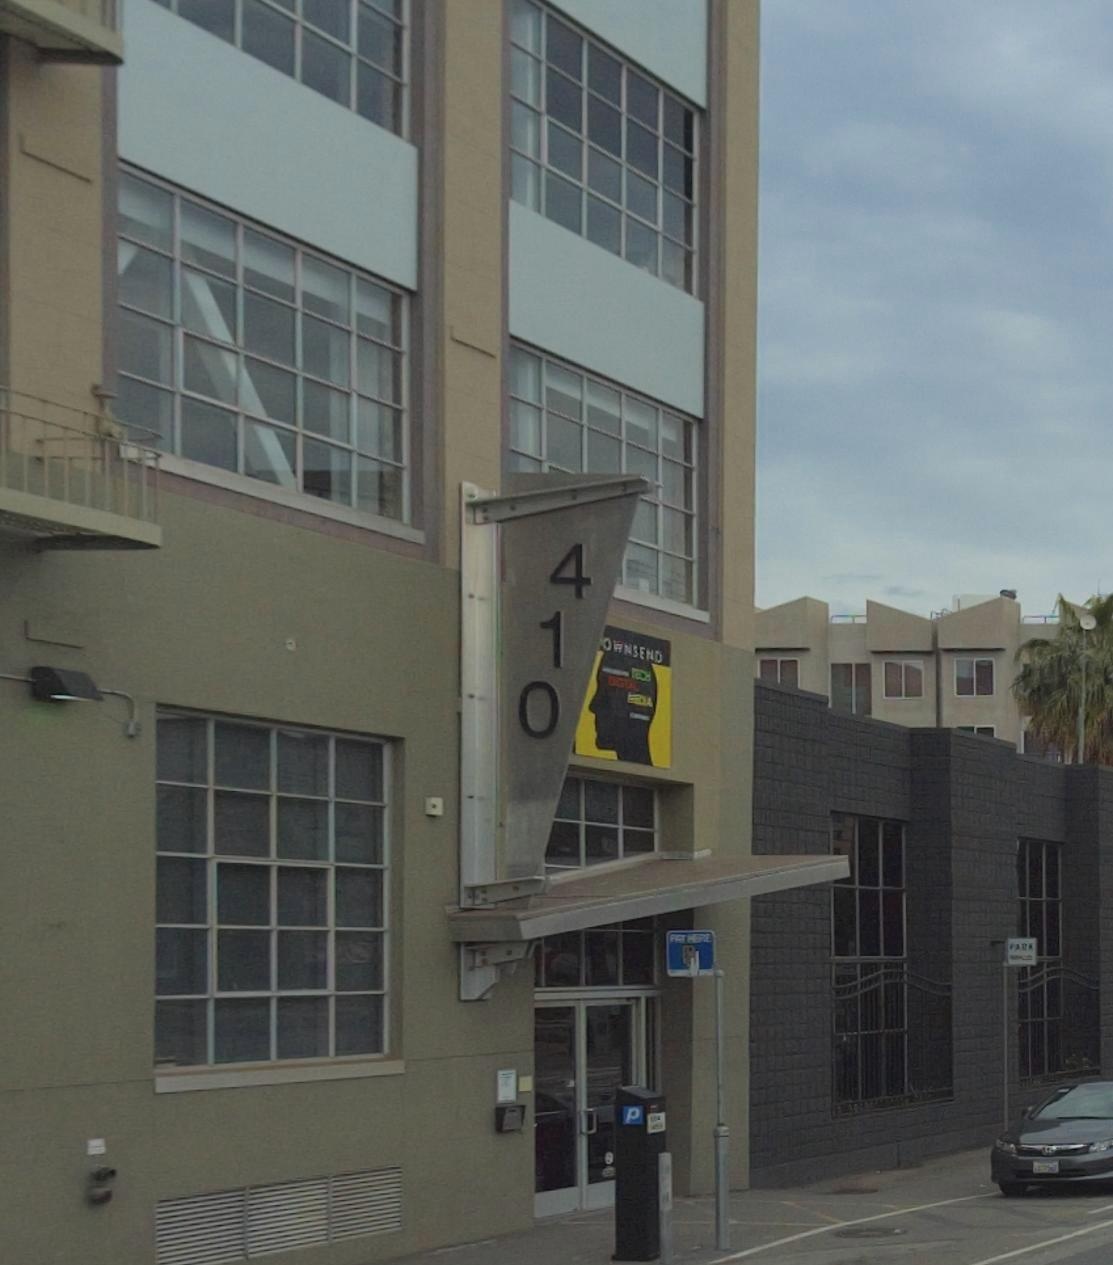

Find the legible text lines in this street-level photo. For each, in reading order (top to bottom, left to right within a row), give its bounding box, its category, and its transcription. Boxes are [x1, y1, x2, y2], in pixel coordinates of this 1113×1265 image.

[514, 540, 596, 743] StreetNumber: 410
[600, 633, 665, 667] None: OWNSEND
[621, 1105, 642, 1126] None: P